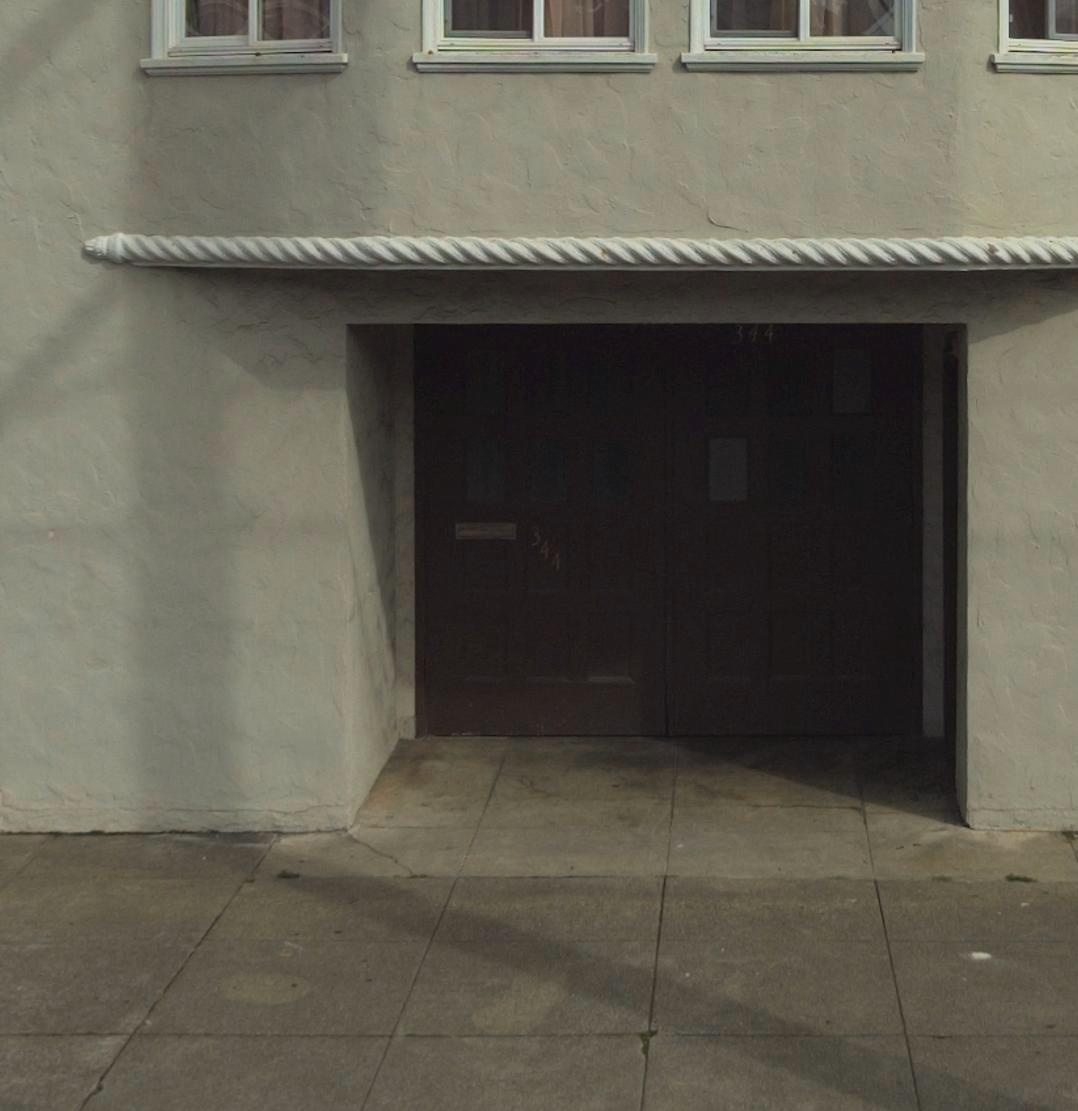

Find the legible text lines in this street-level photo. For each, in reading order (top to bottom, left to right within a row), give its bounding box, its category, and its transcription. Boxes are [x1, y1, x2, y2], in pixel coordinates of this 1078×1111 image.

[731, 323, 778, 345] StreetNumber: 344
[530, 524, 563, 572] StreetNumber: 344